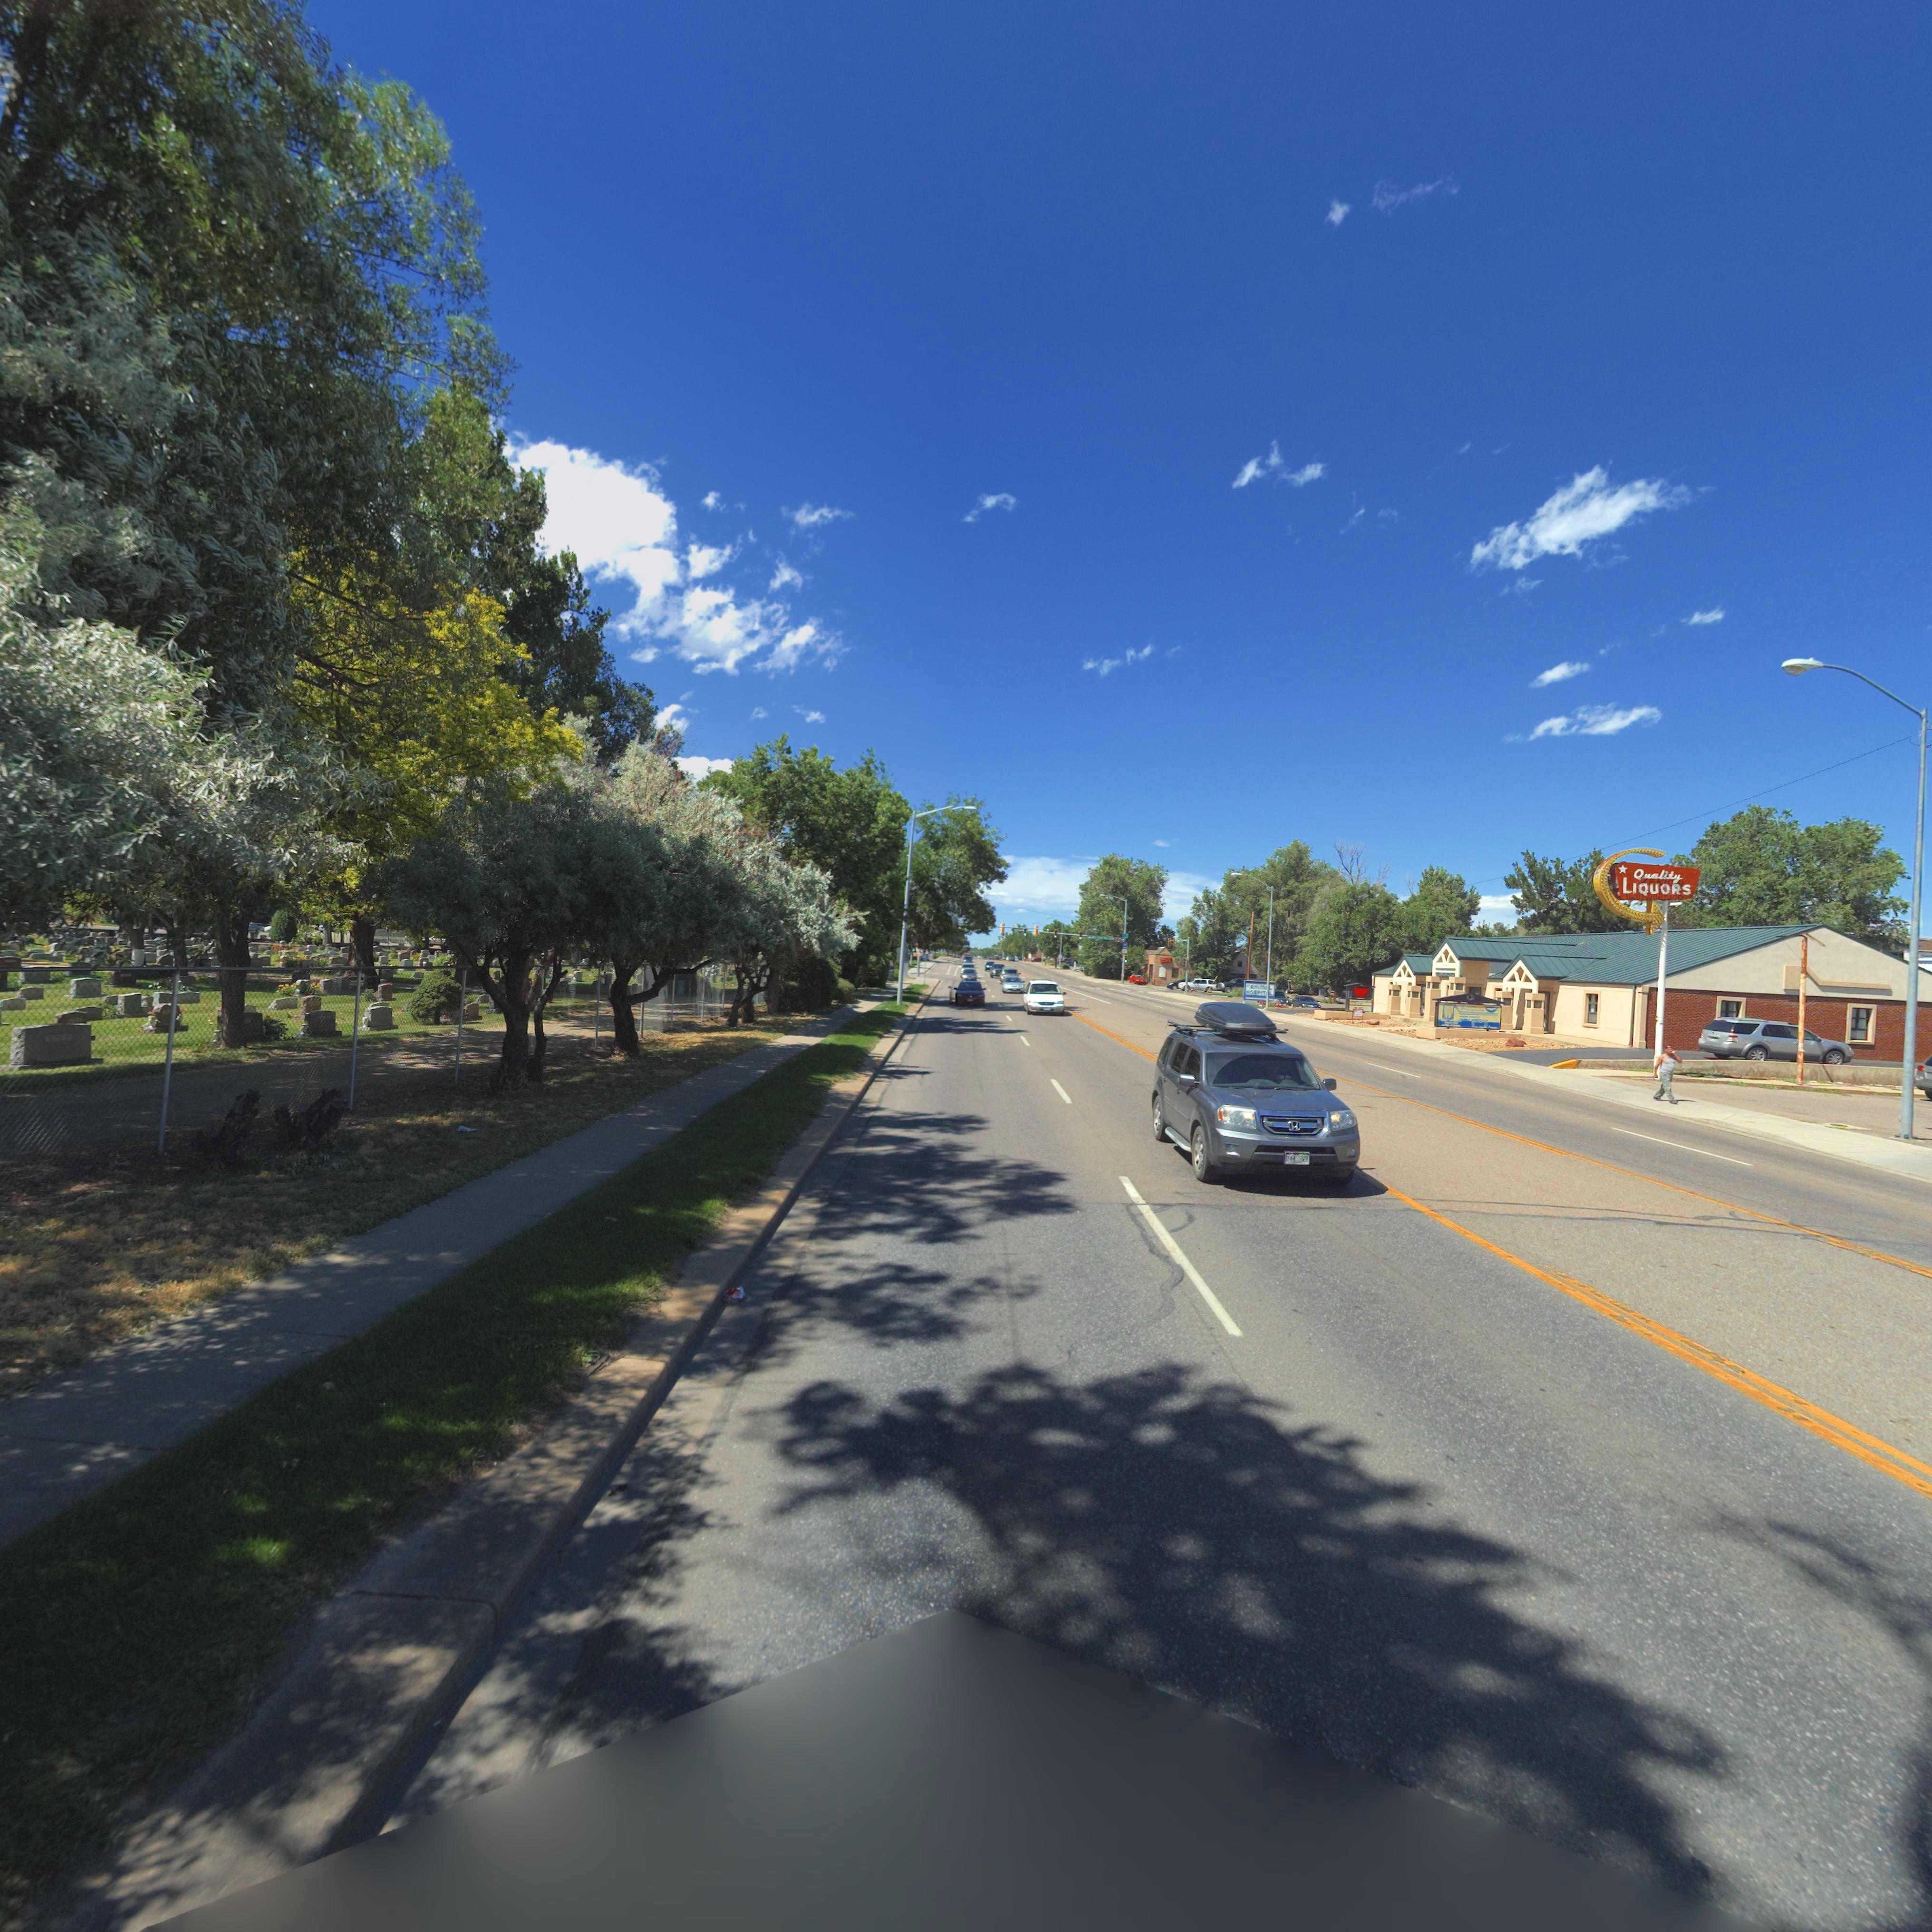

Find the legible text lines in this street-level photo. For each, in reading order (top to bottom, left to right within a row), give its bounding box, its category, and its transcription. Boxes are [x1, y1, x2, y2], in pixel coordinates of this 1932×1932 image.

[1633, 867, 1684, 884] BusinessName: Quality
[1622, 876, 1693, 897] BusinessName: LIQUORS